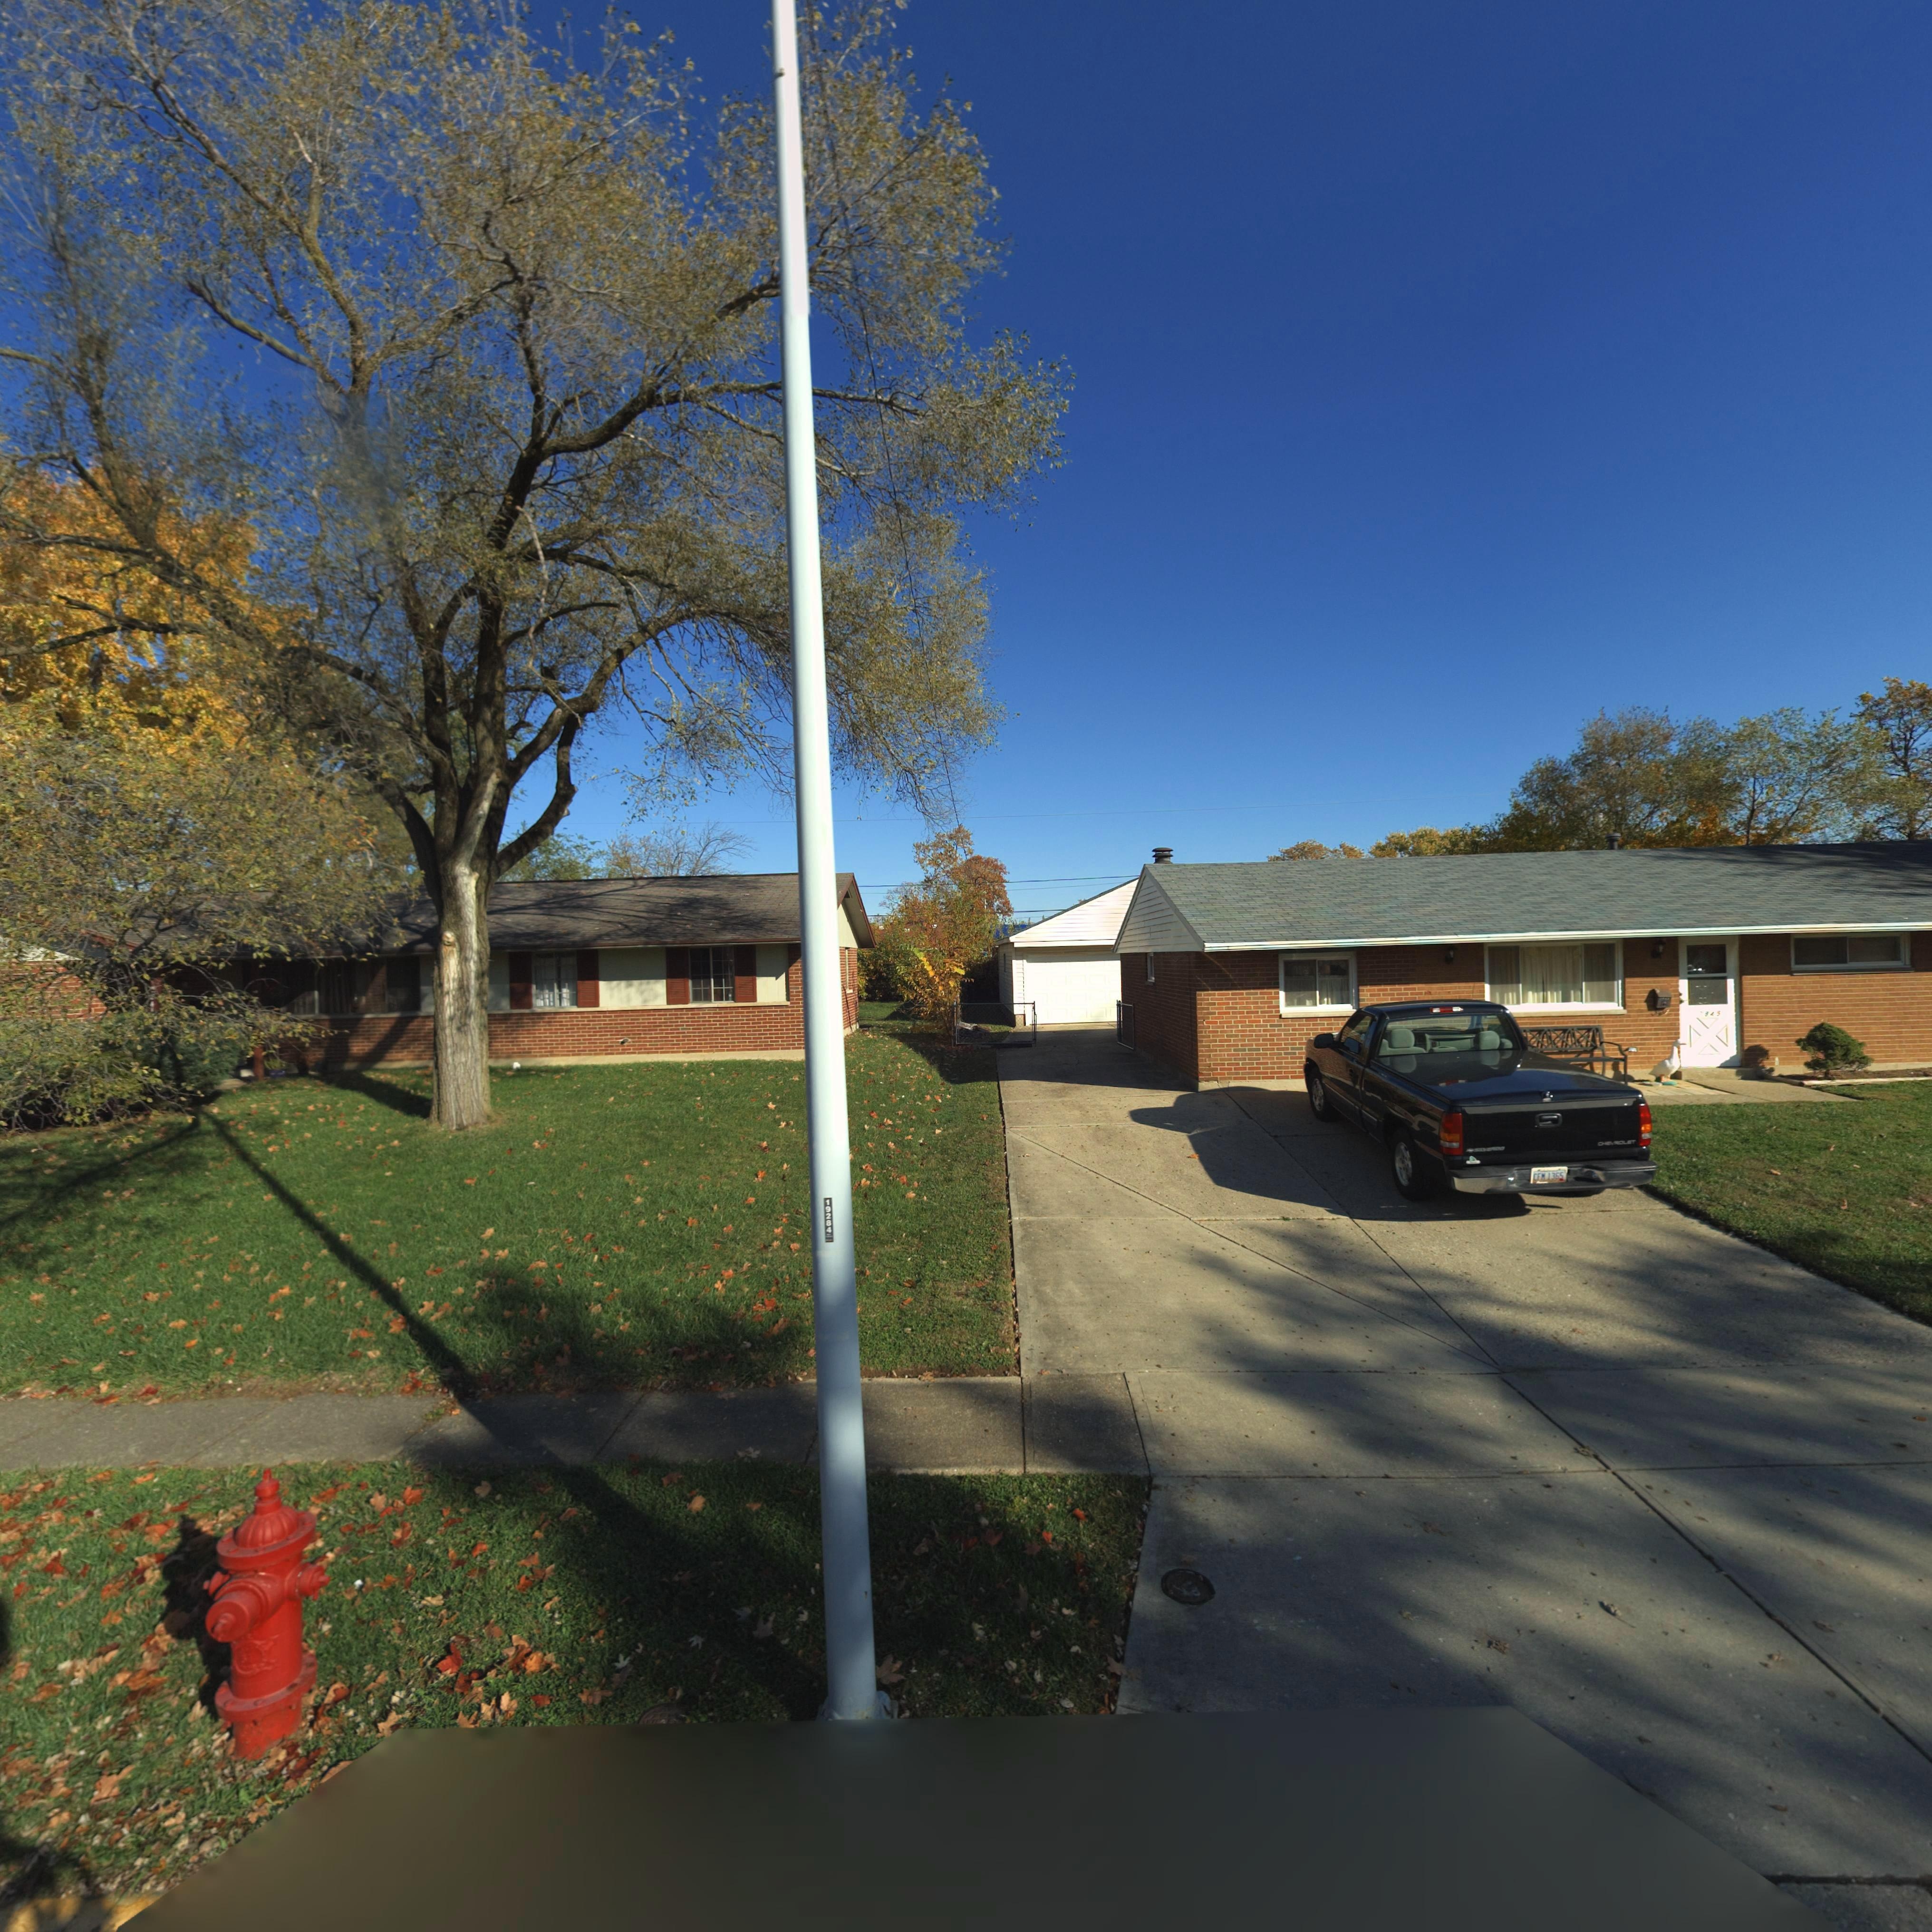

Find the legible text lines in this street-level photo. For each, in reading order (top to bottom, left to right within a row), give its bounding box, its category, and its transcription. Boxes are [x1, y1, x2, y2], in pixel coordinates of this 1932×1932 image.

[1699, 1010, 1721, 1017] StreetNumber: *845